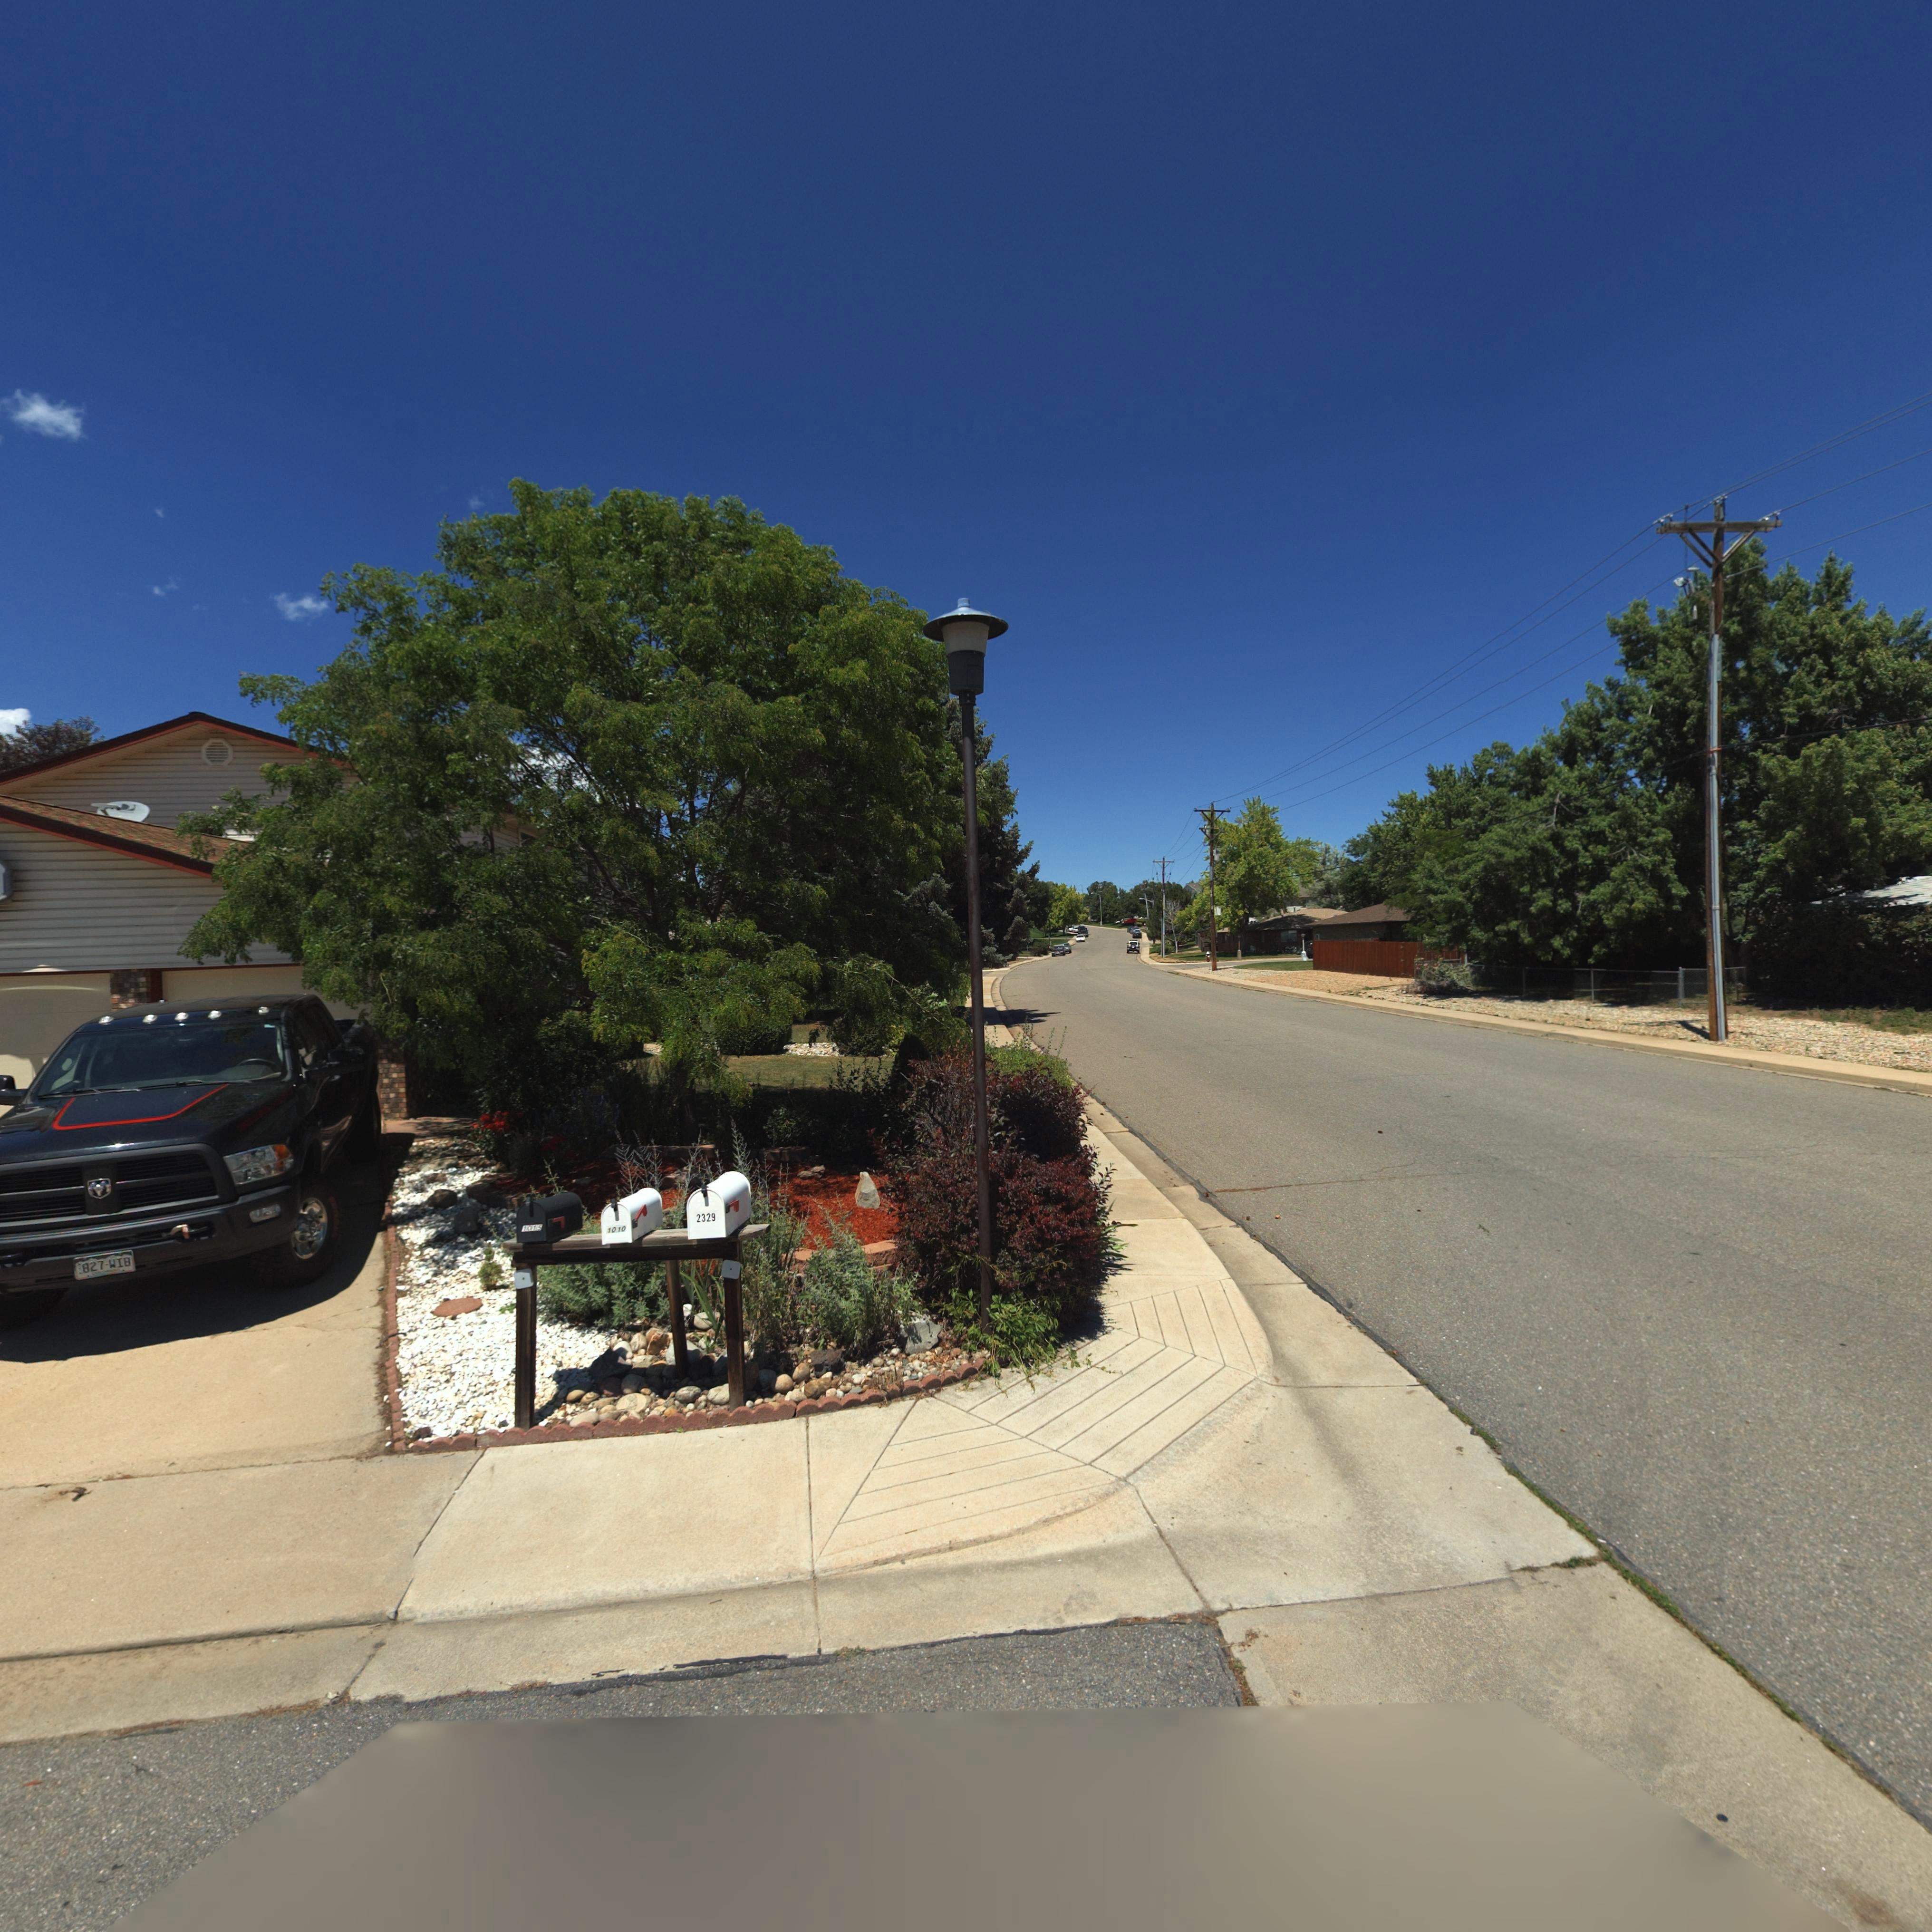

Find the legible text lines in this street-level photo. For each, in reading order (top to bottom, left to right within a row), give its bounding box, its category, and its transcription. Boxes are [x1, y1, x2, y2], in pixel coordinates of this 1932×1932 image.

[696, 1212, 716, 1223] StreetNumber: 2329
[522, 1224, 542, 1231] StreetNumber: 1015
[607, 1225, 626, 1234] StreetNumber: 1010